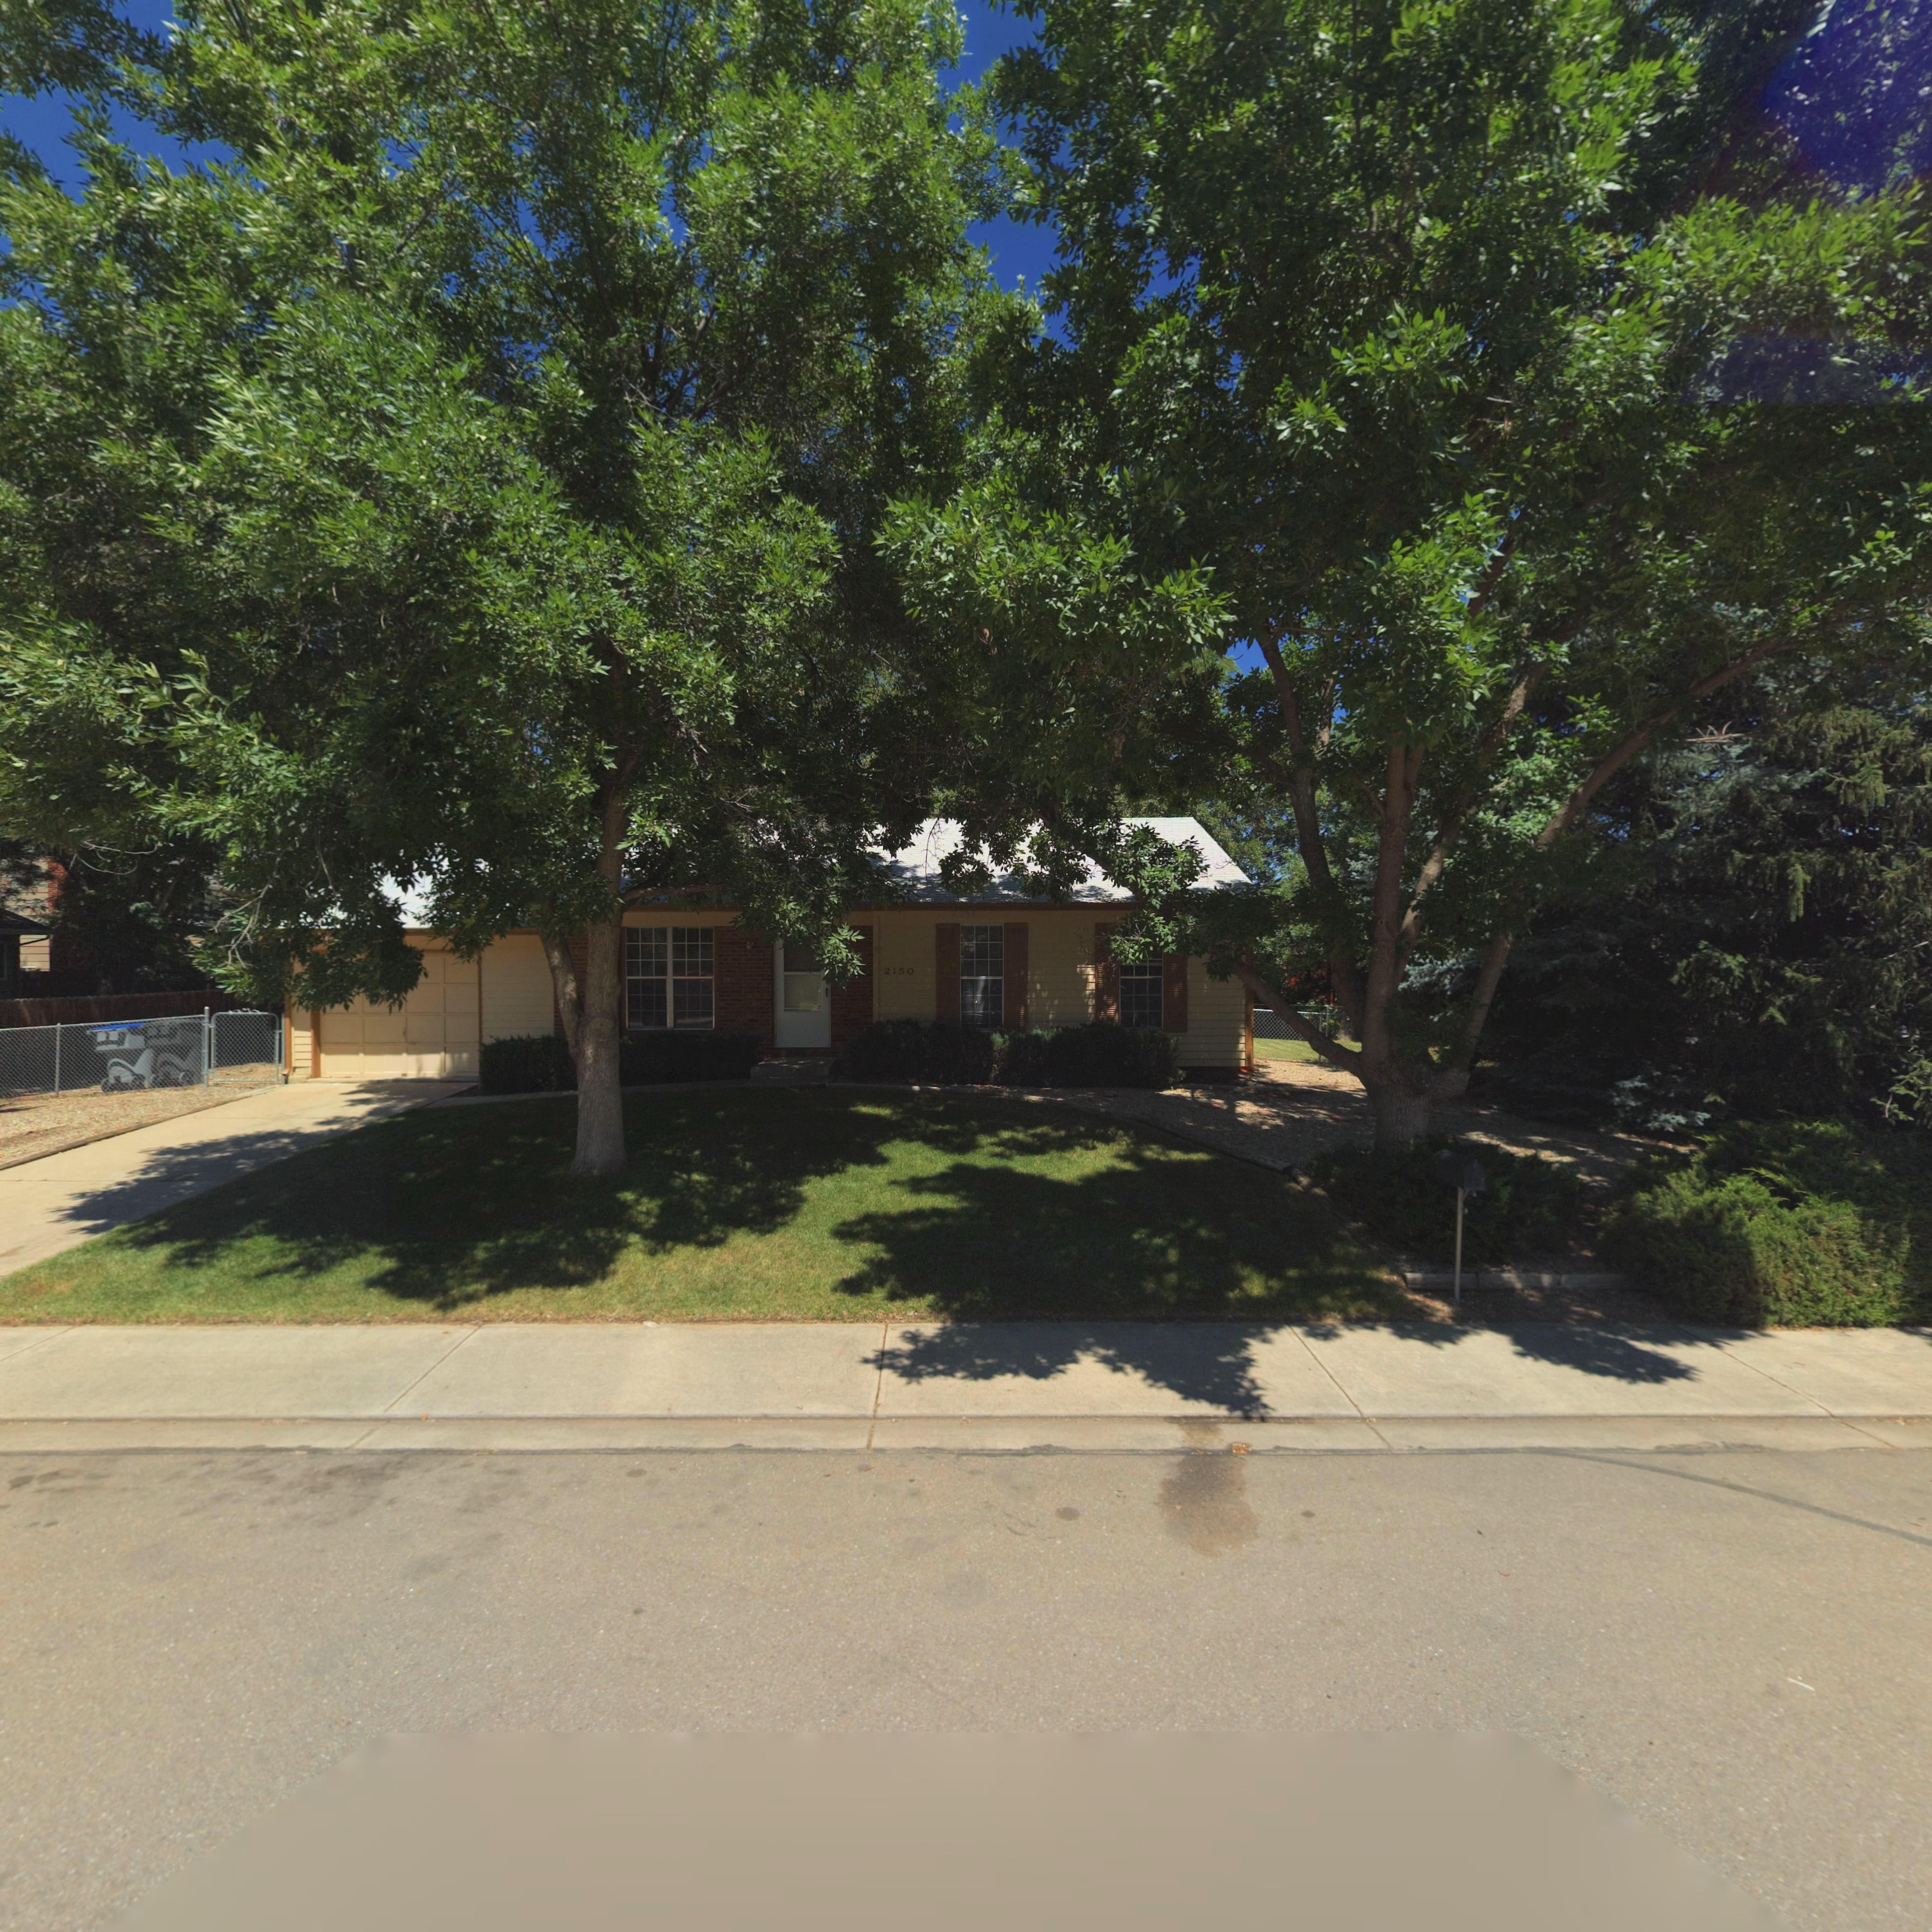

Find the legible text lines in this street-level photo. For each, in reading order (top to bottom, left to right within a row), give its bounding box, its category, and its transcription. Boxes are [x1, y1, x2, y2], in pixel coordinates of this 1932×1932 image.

[884, 967, 914, 975] StreetNumber: 2150